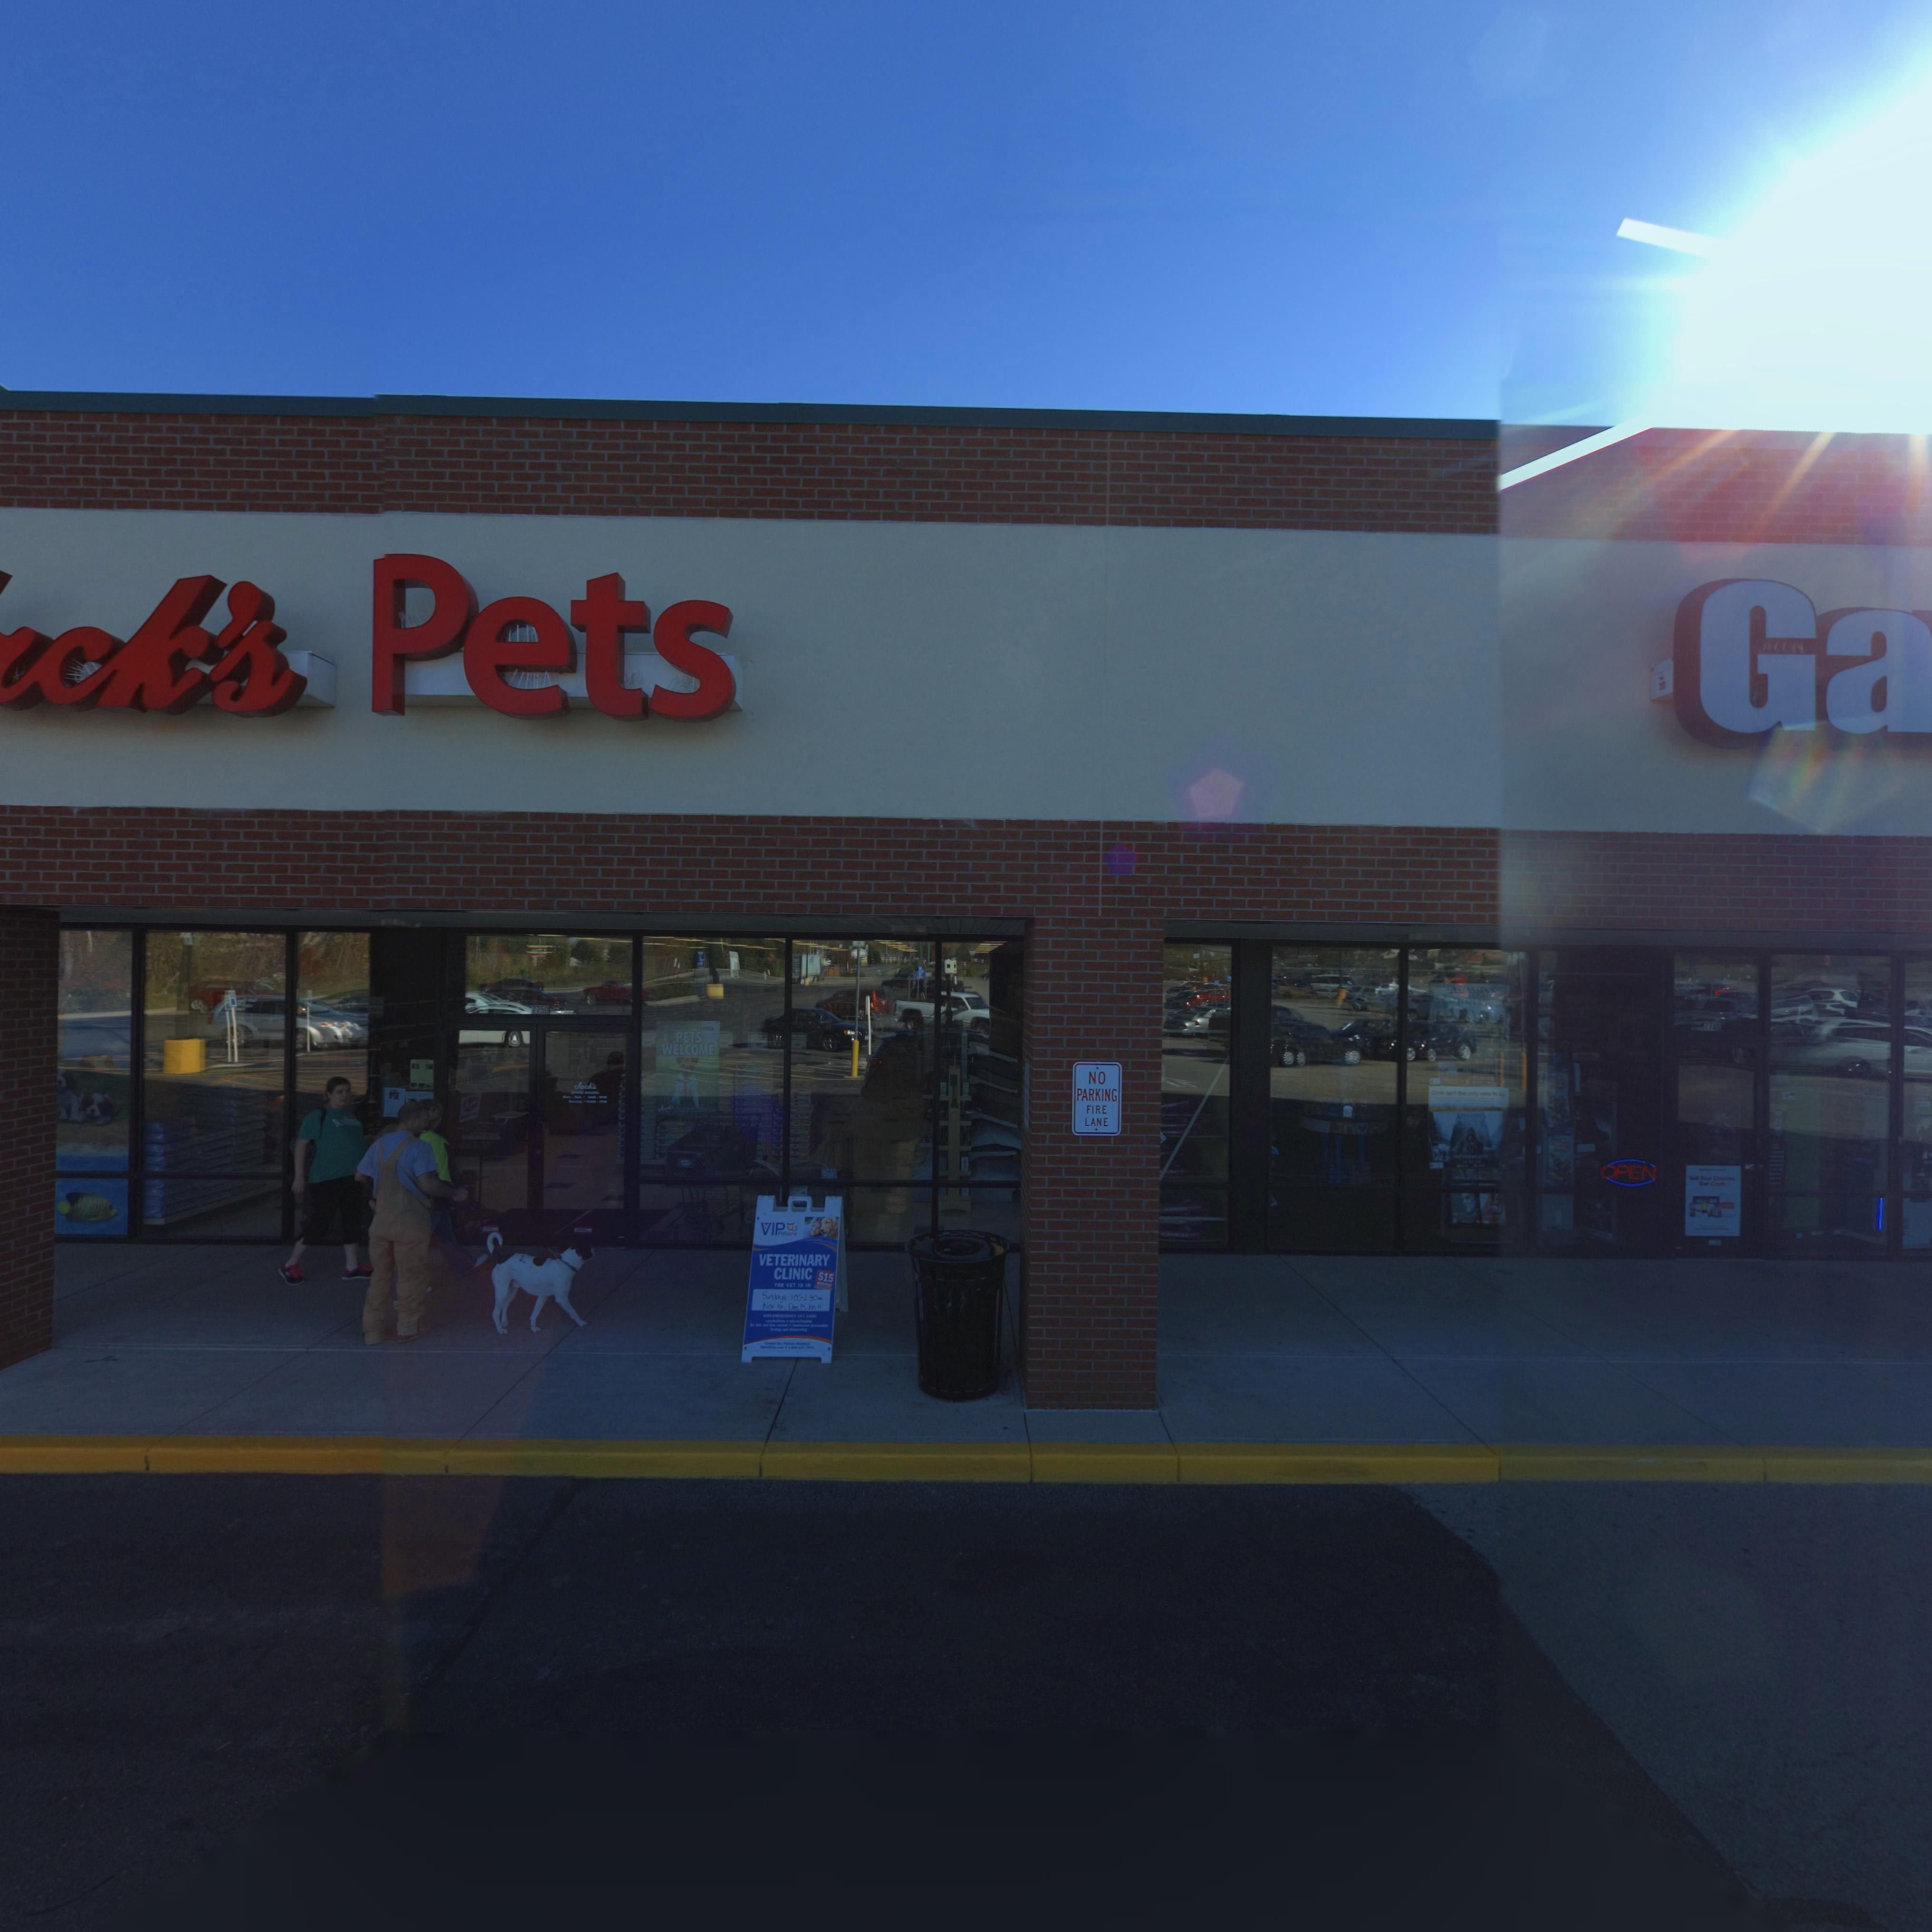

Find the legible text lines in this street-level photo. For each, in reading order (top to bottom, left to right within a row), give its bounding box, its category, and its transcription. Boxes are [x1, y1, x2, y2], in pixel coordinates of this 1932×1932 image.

[531, 1005, 549, 1014] StreetNumber: 7750
[1703, 1022, 1721, 1032] StreetNumber: 774*